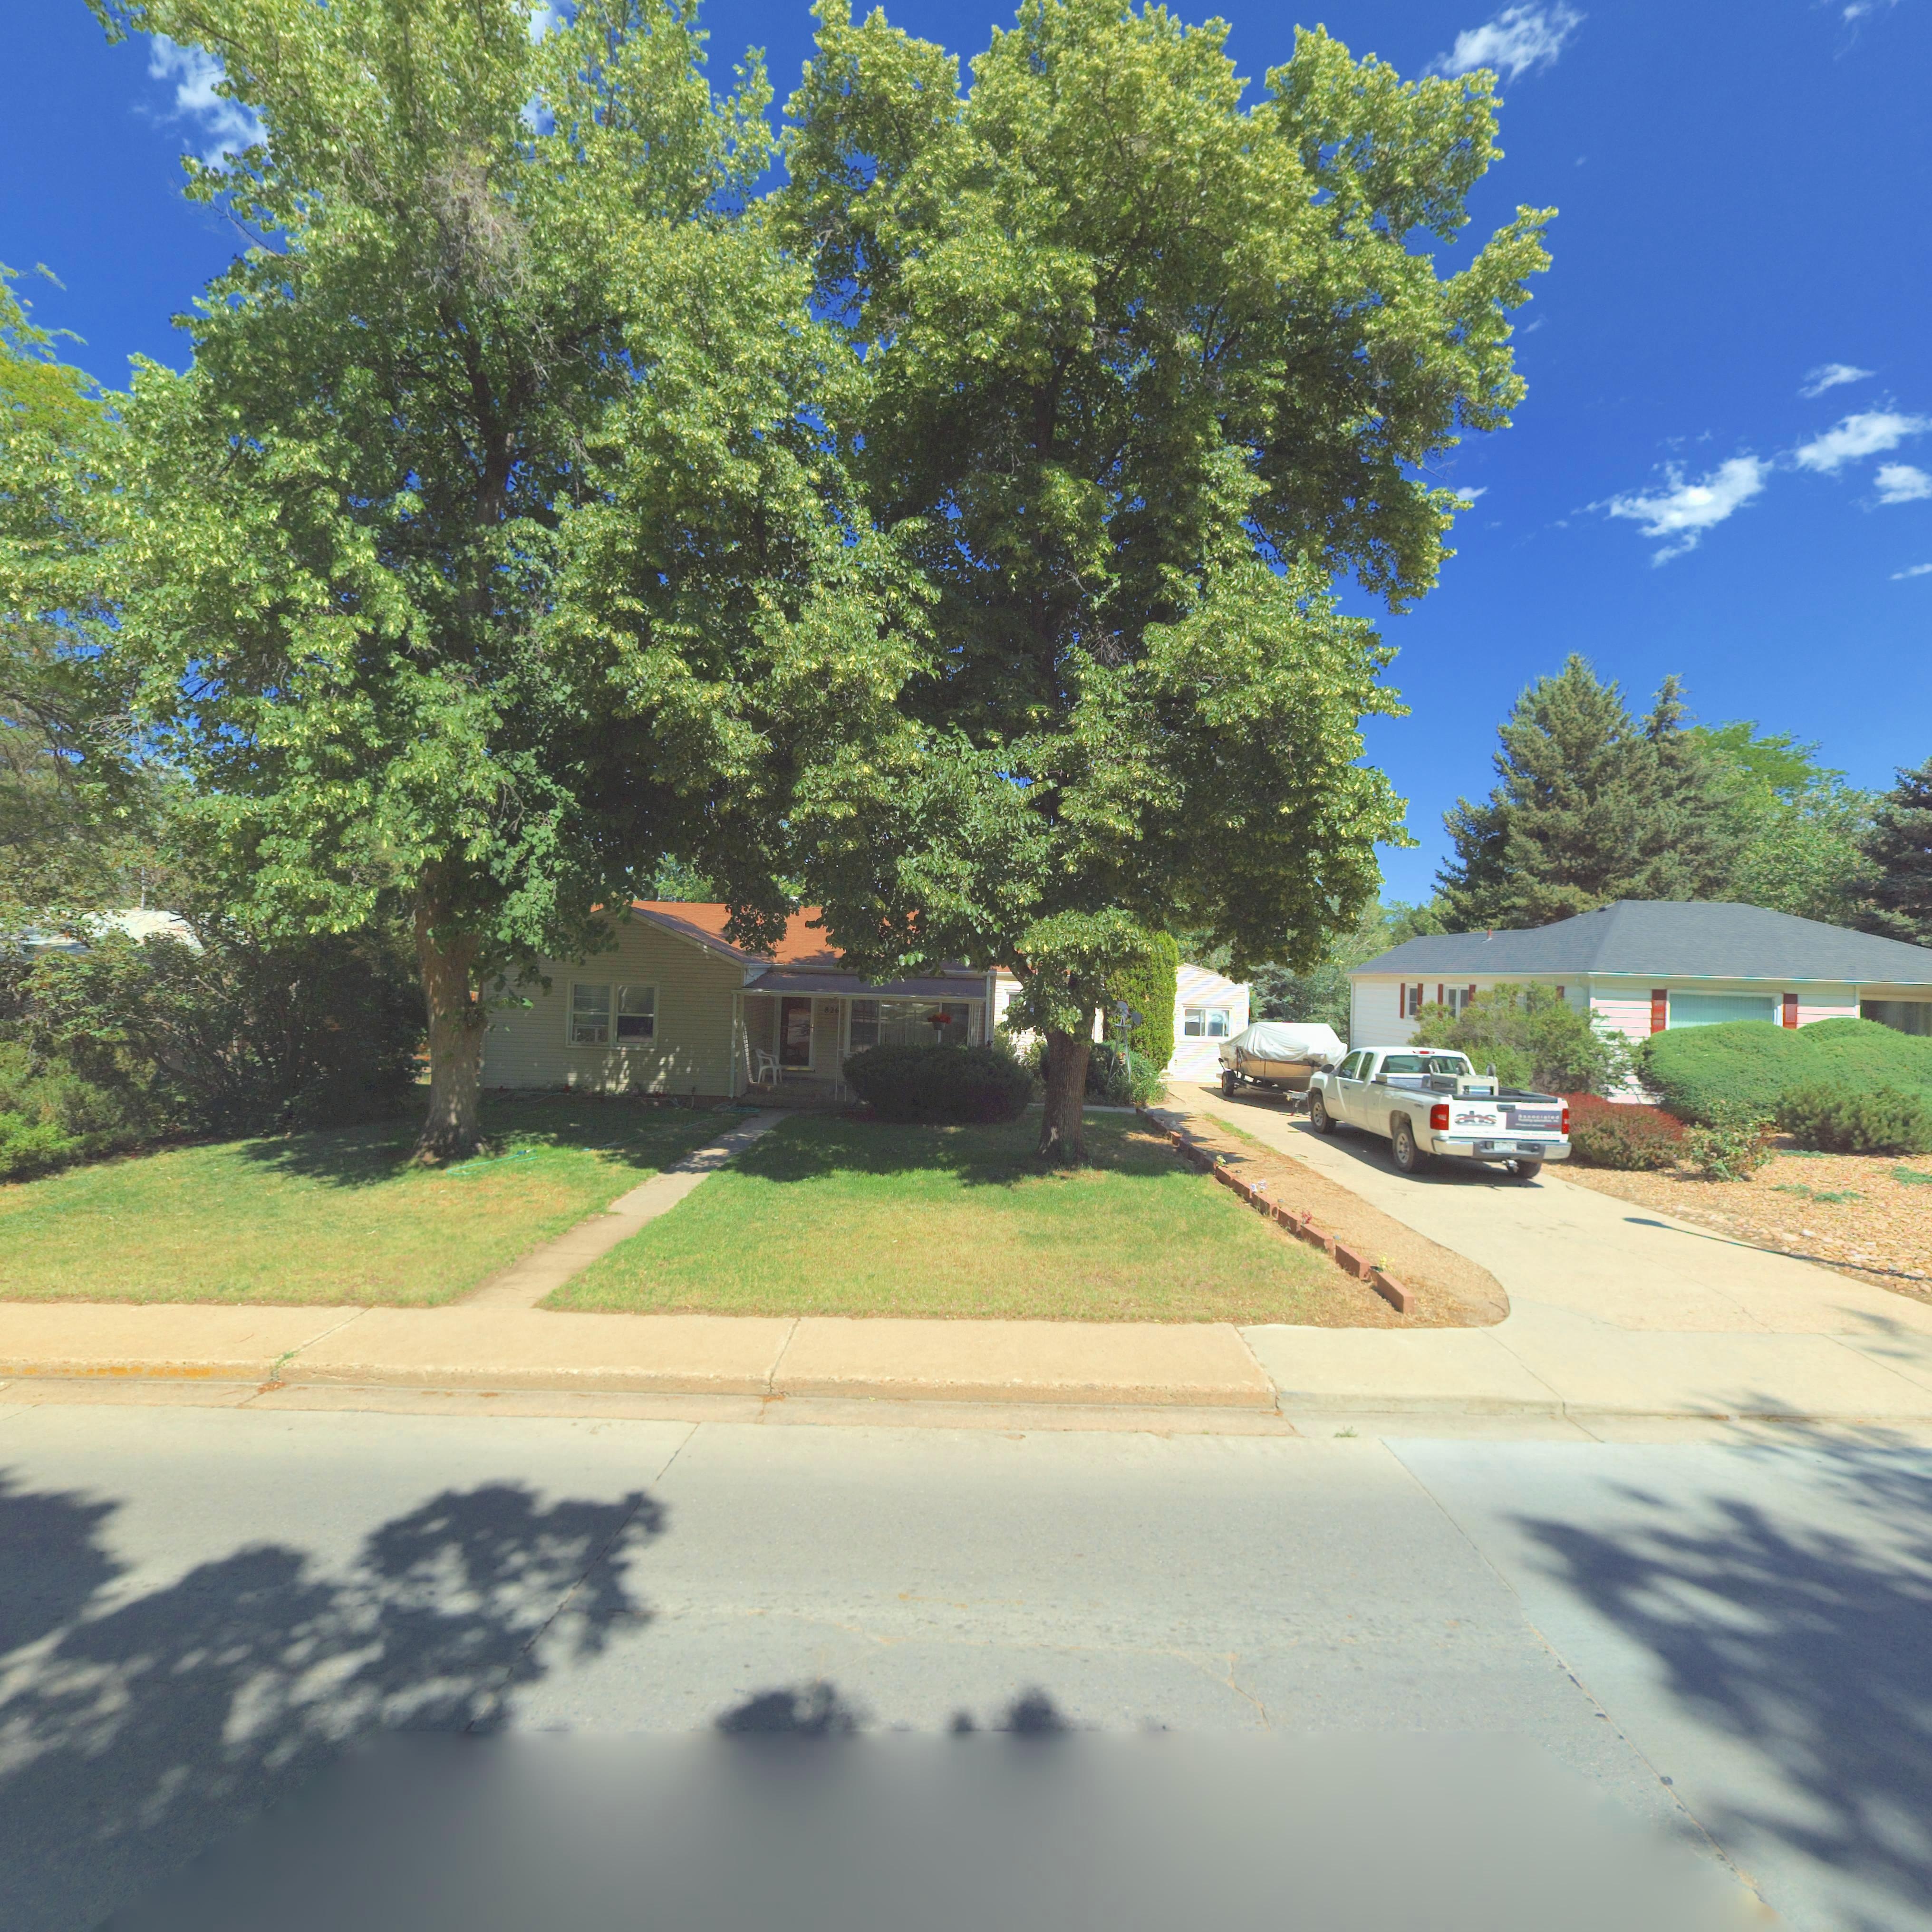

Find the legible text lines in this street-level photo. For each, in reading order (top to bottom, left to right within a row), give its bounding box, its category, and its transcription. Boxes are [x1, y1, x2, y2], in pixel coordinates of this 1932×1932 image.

[824, 1006, 839, 1014] StreetNumber: 82*